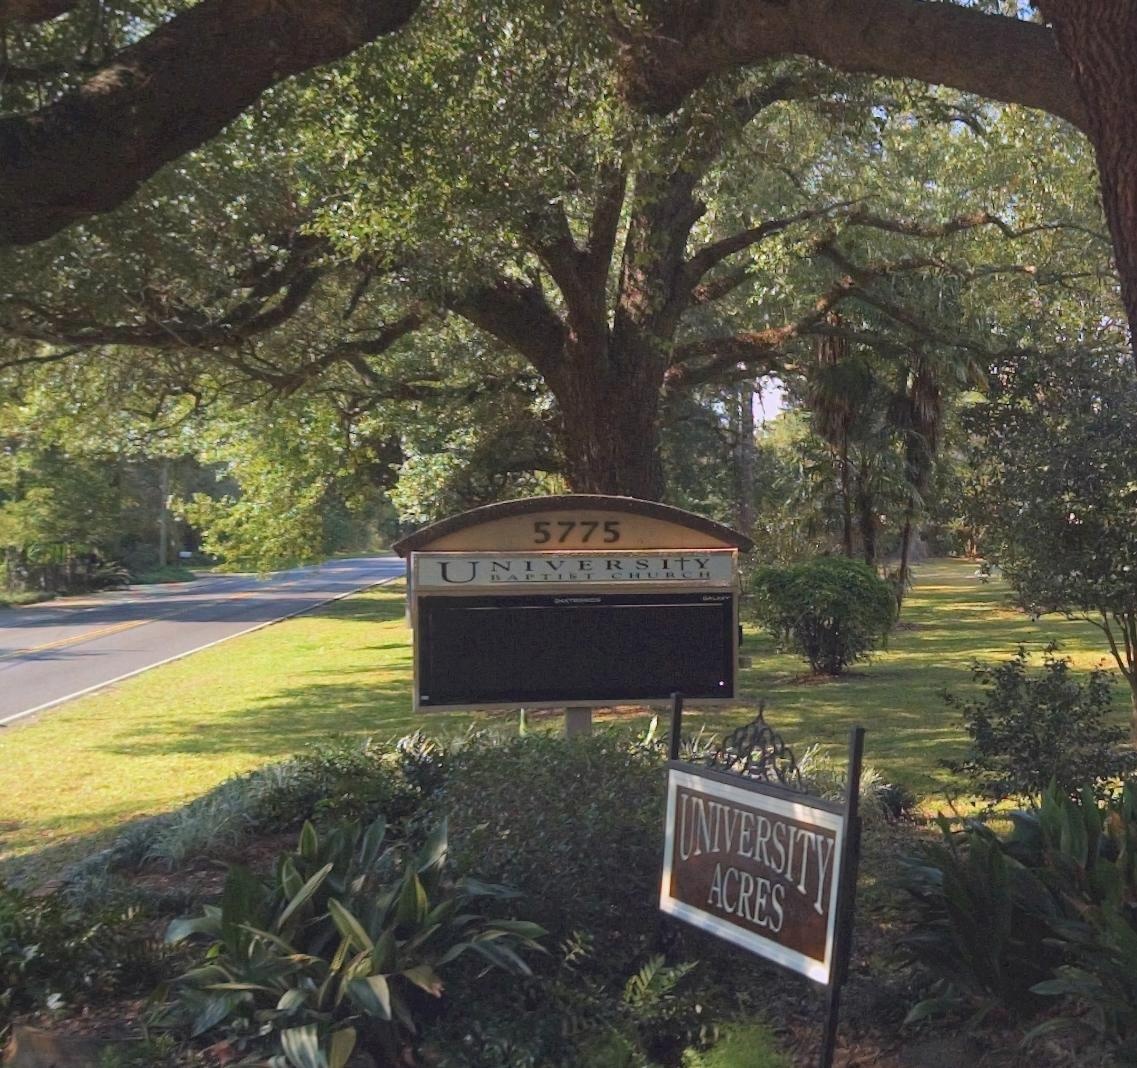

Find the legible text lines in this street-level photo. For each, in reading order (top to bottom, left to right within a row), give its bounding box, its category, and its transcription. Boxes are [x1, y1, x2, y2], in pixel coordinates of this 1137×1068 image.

[533, 521, 622, 544] StreetNumber: 5775
[436, 557, 709, 584] BusinessName: UNIVERSITY
[489, 571, 710, 581] BusinessName: BAPTIST CHURCH
[676, 792, 837, 919] None: UNIVERSITY
[704, 859, 790, 936] None: ACRES